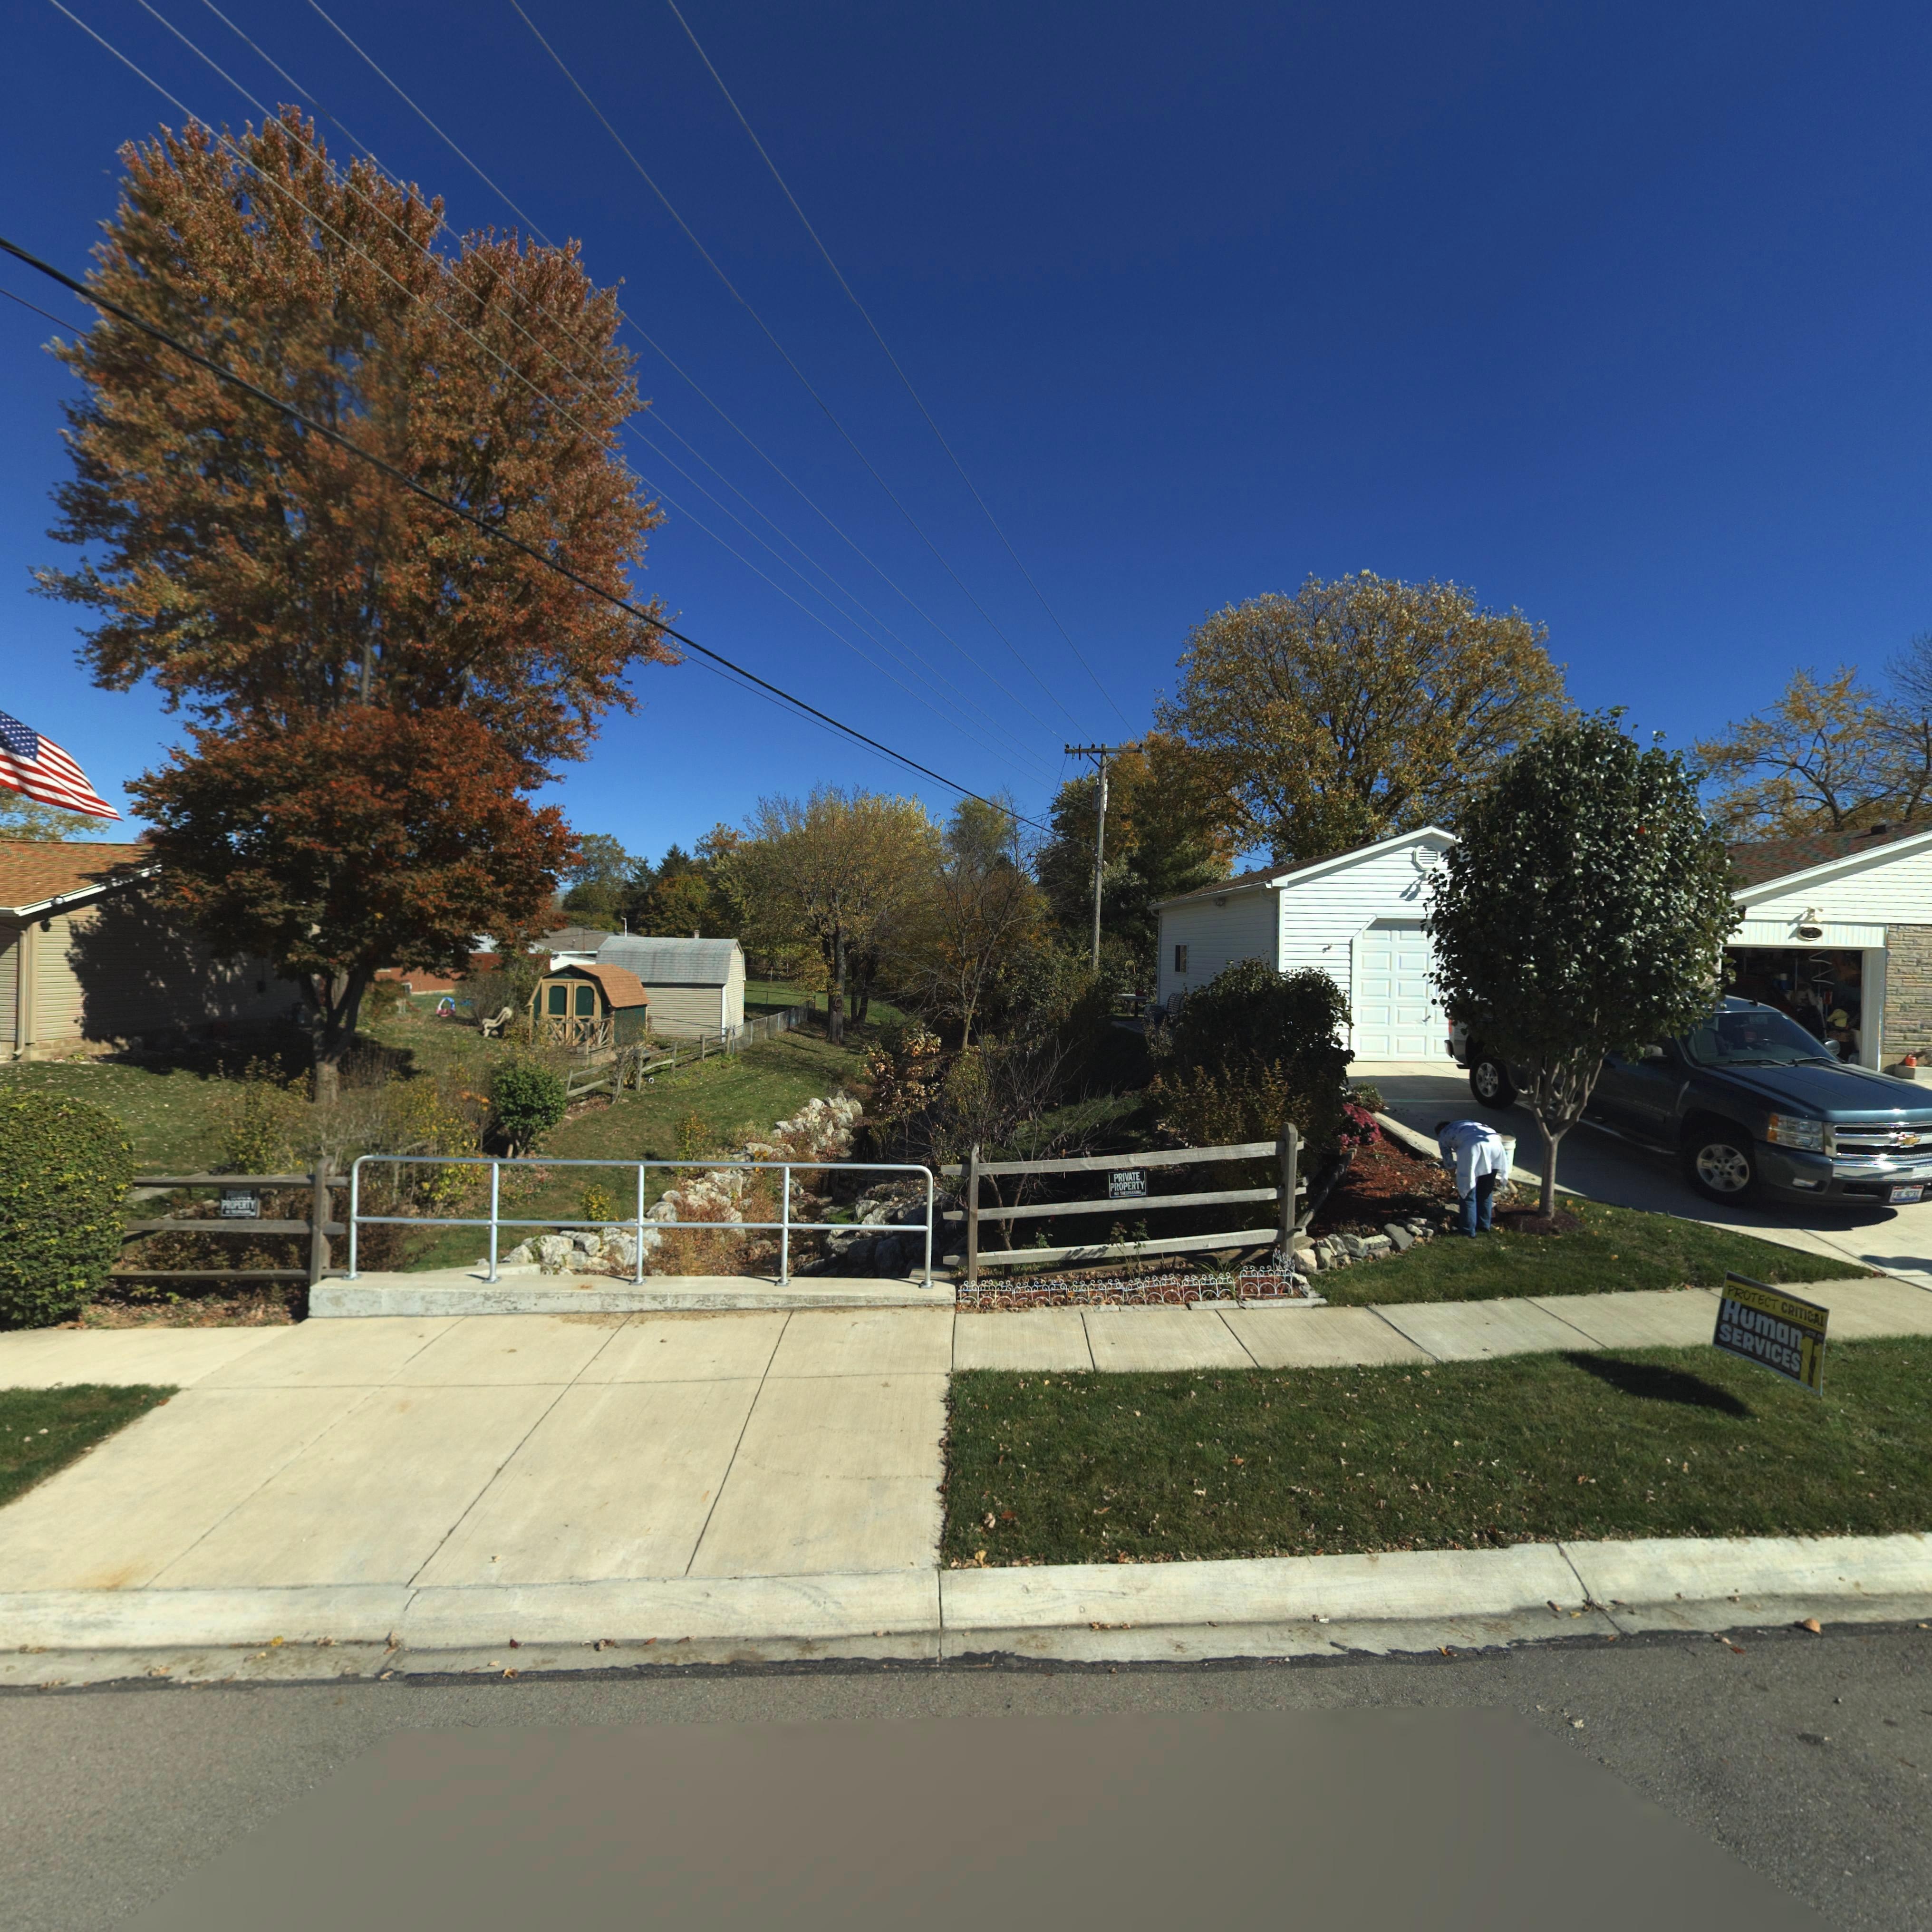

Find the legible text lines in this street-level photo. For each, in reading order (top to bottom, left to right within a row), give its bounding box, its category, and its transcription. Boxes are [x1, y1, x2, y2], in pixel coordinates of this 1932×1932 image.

[1802, 928, 1821, 937] StreetNumber: 720